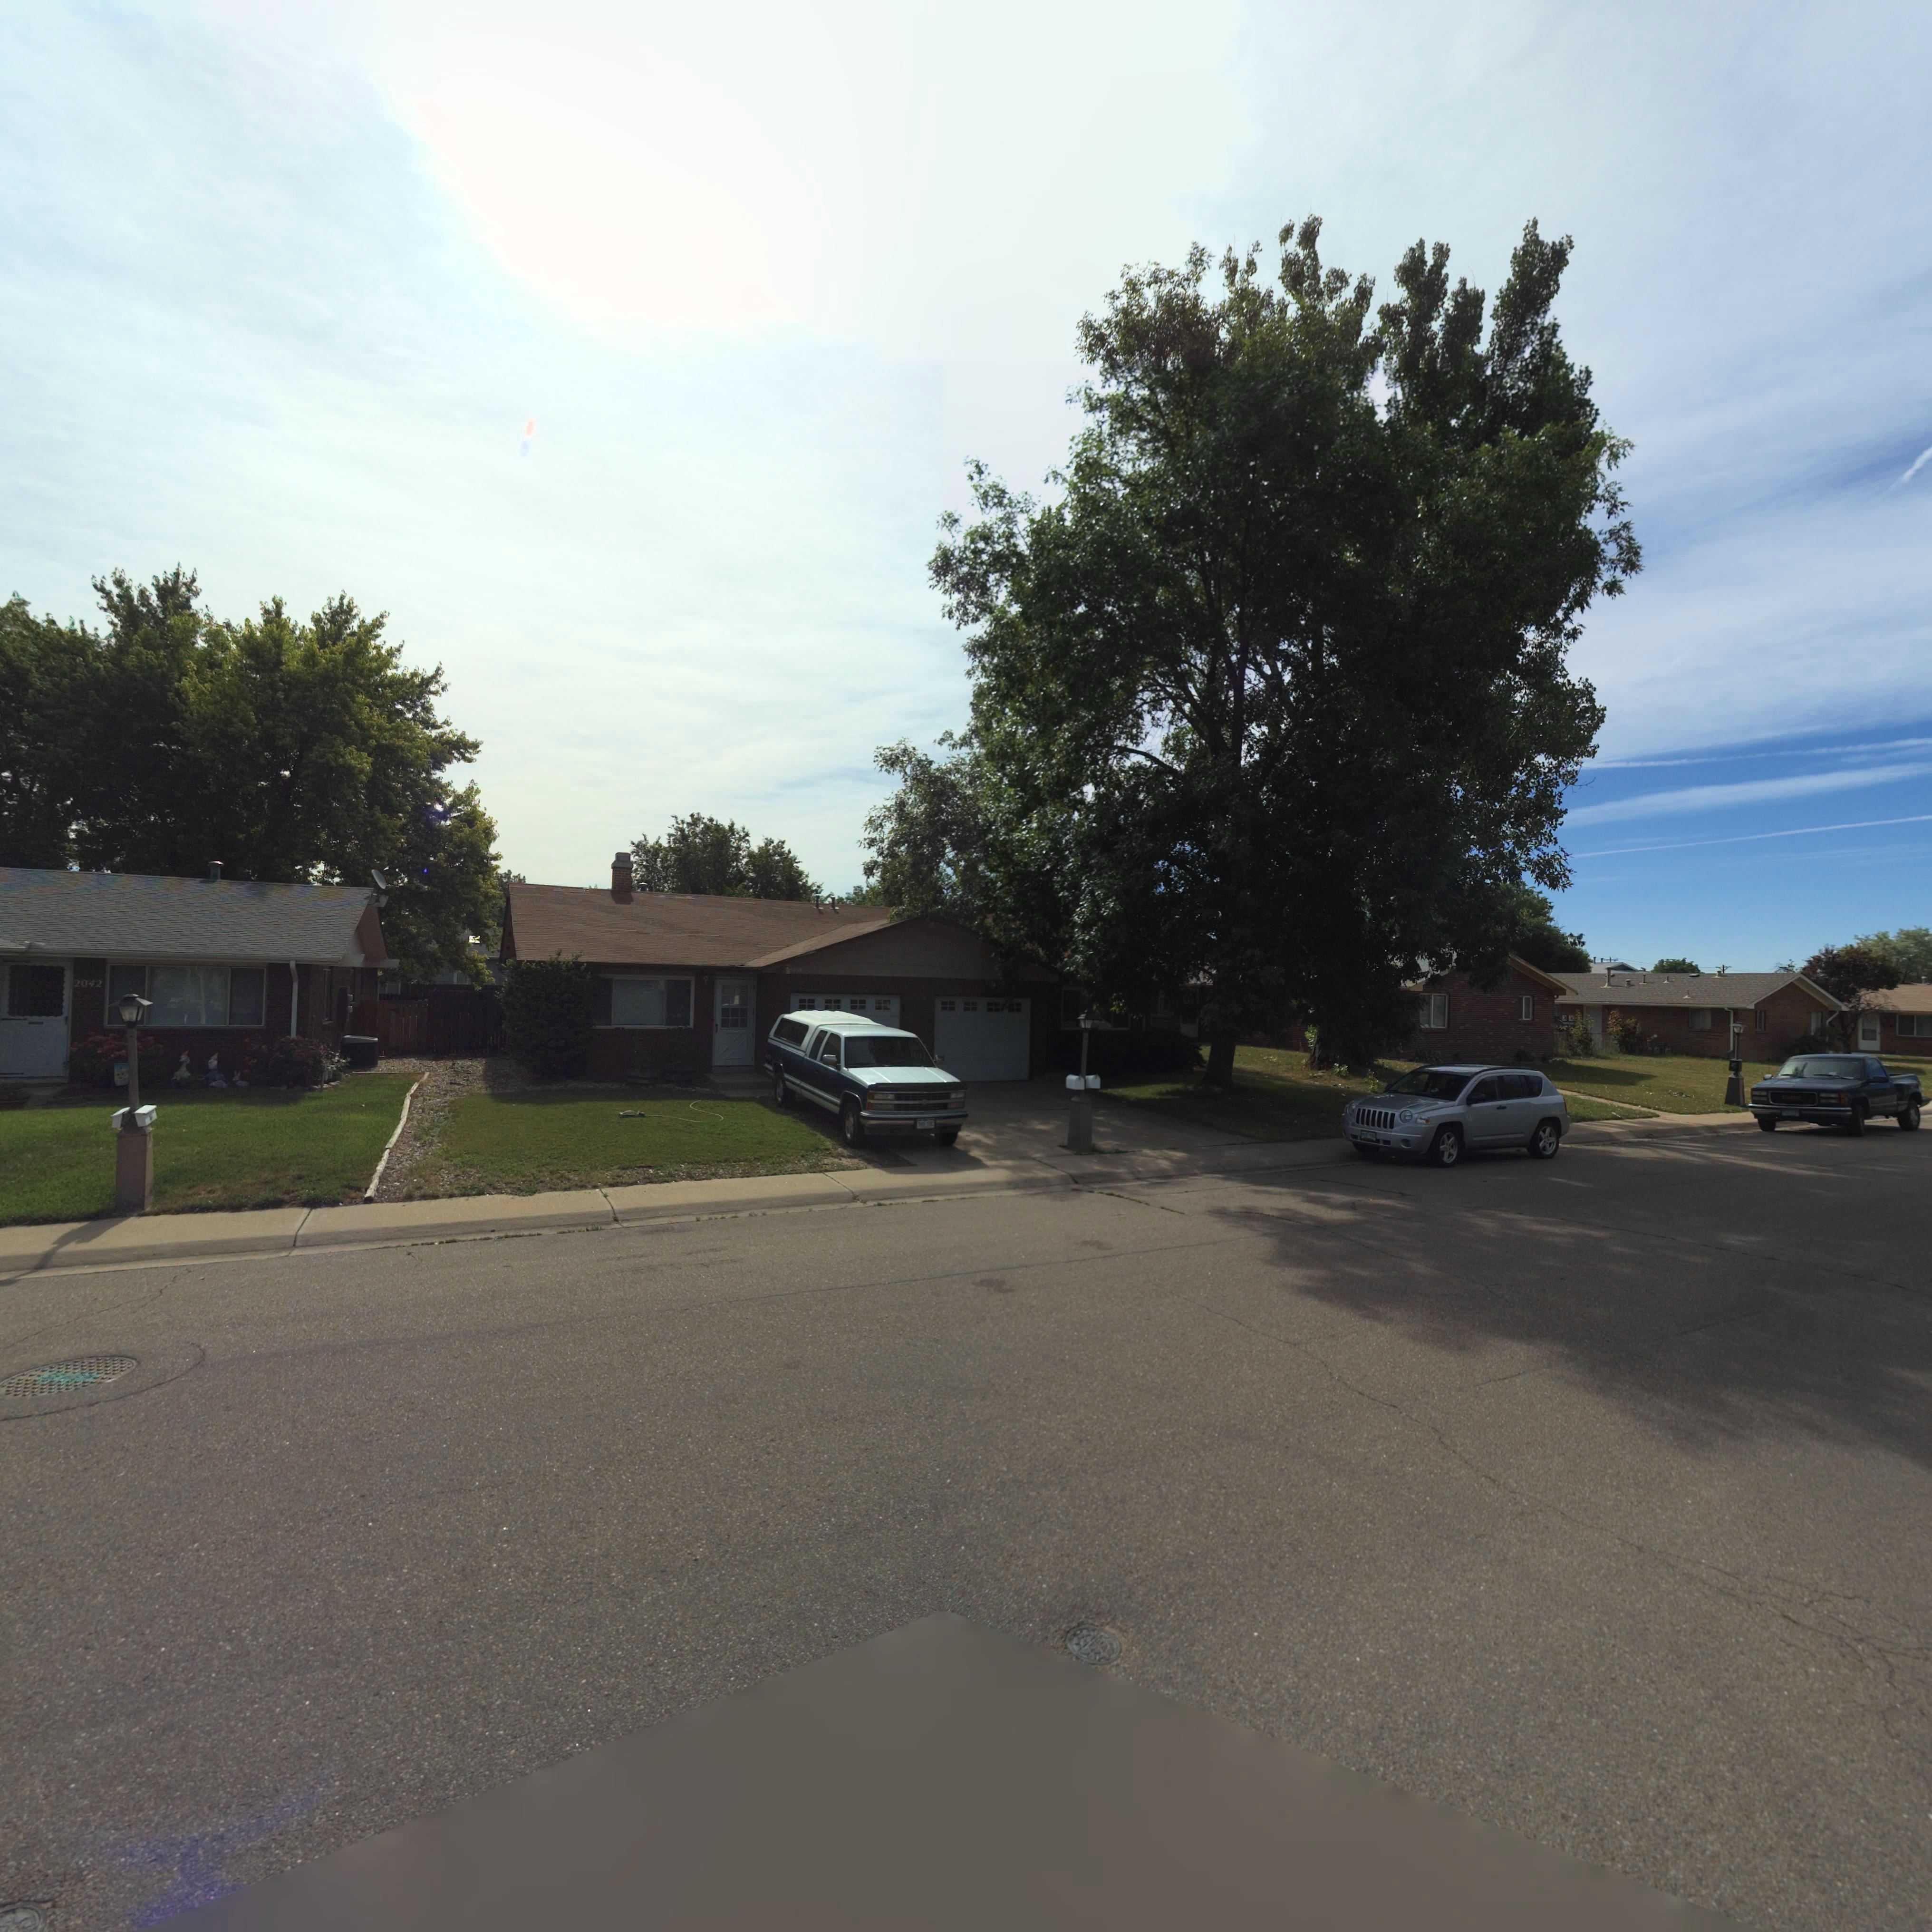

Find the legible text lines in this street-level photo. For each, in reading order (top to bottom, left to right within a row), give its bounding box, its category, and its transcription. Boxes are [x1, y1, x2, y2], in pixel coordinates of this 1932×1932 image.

[74, 979, 102, 987] StreetNumber: 2042